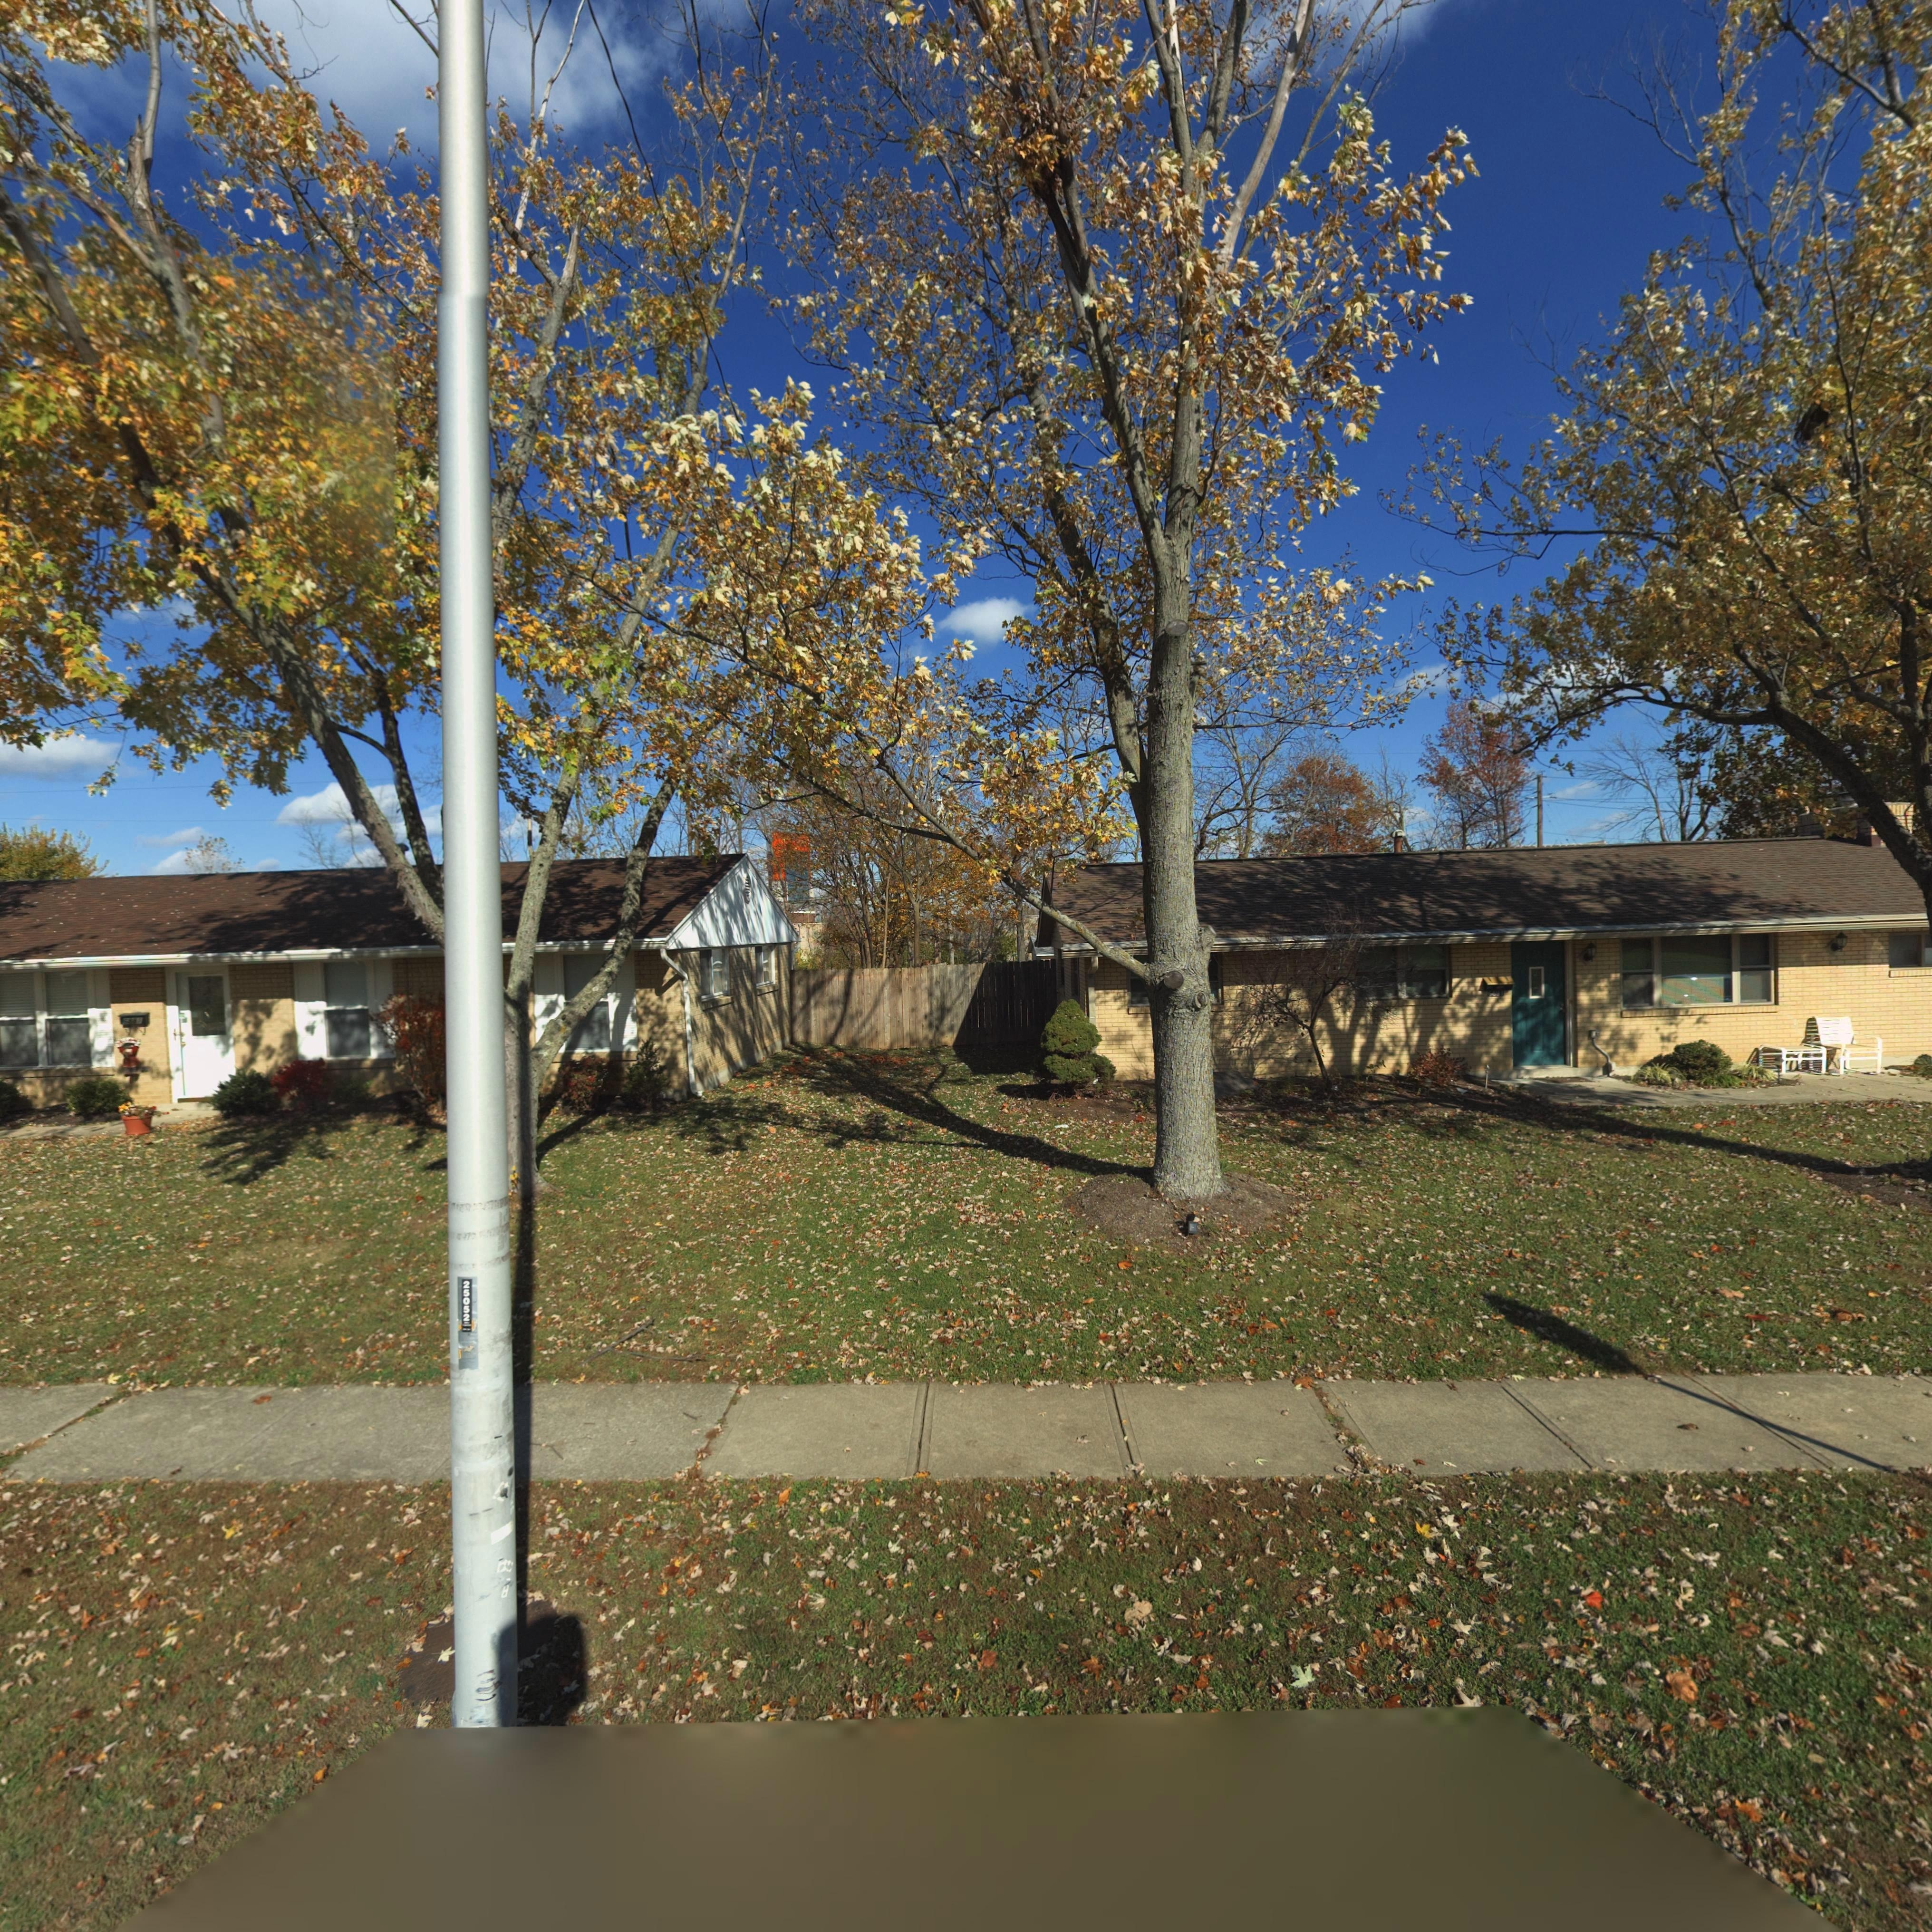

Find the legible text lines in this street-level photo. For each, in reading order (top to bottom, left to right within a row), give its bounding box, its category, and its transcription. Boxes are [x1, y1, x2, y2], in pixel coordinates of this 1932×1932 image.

[1488, 989, 1504, 997] StreetNumber: 6*9*